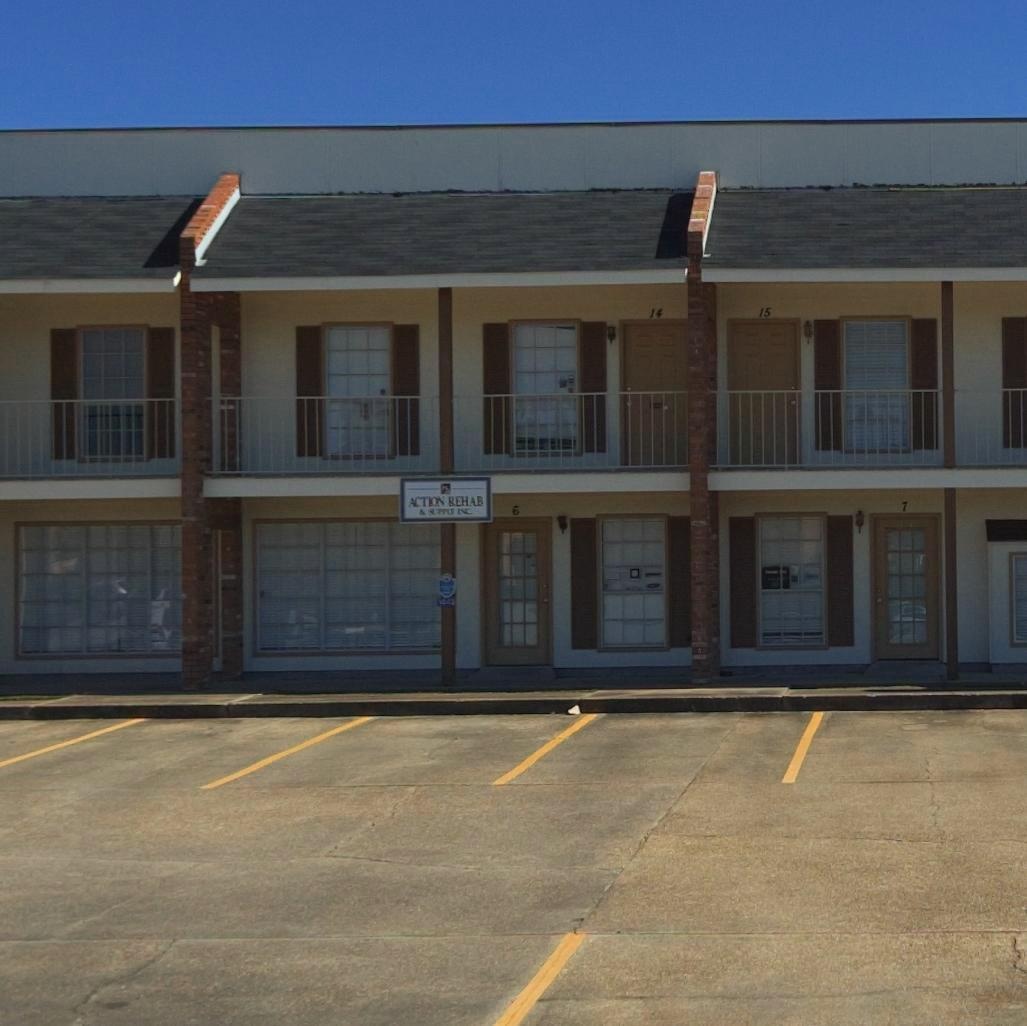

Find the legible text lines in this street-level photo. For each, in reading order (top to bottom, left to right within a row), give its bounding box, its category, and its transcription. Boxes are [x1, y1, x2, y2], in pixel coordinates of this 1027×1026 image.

[646, 305, 666, 322] StreetNumber: 14
[754, 305, 774, 320] StreetNumber: 15
[404, 492, 487, 510] BusinessName: ACTION REHAR
[425, 505, 477, 517] BusinessName: ****** INC.
[510, 504, 521, 517] StreetNumber: 6
[900, 499, 911, 514] StreetNumber: 7